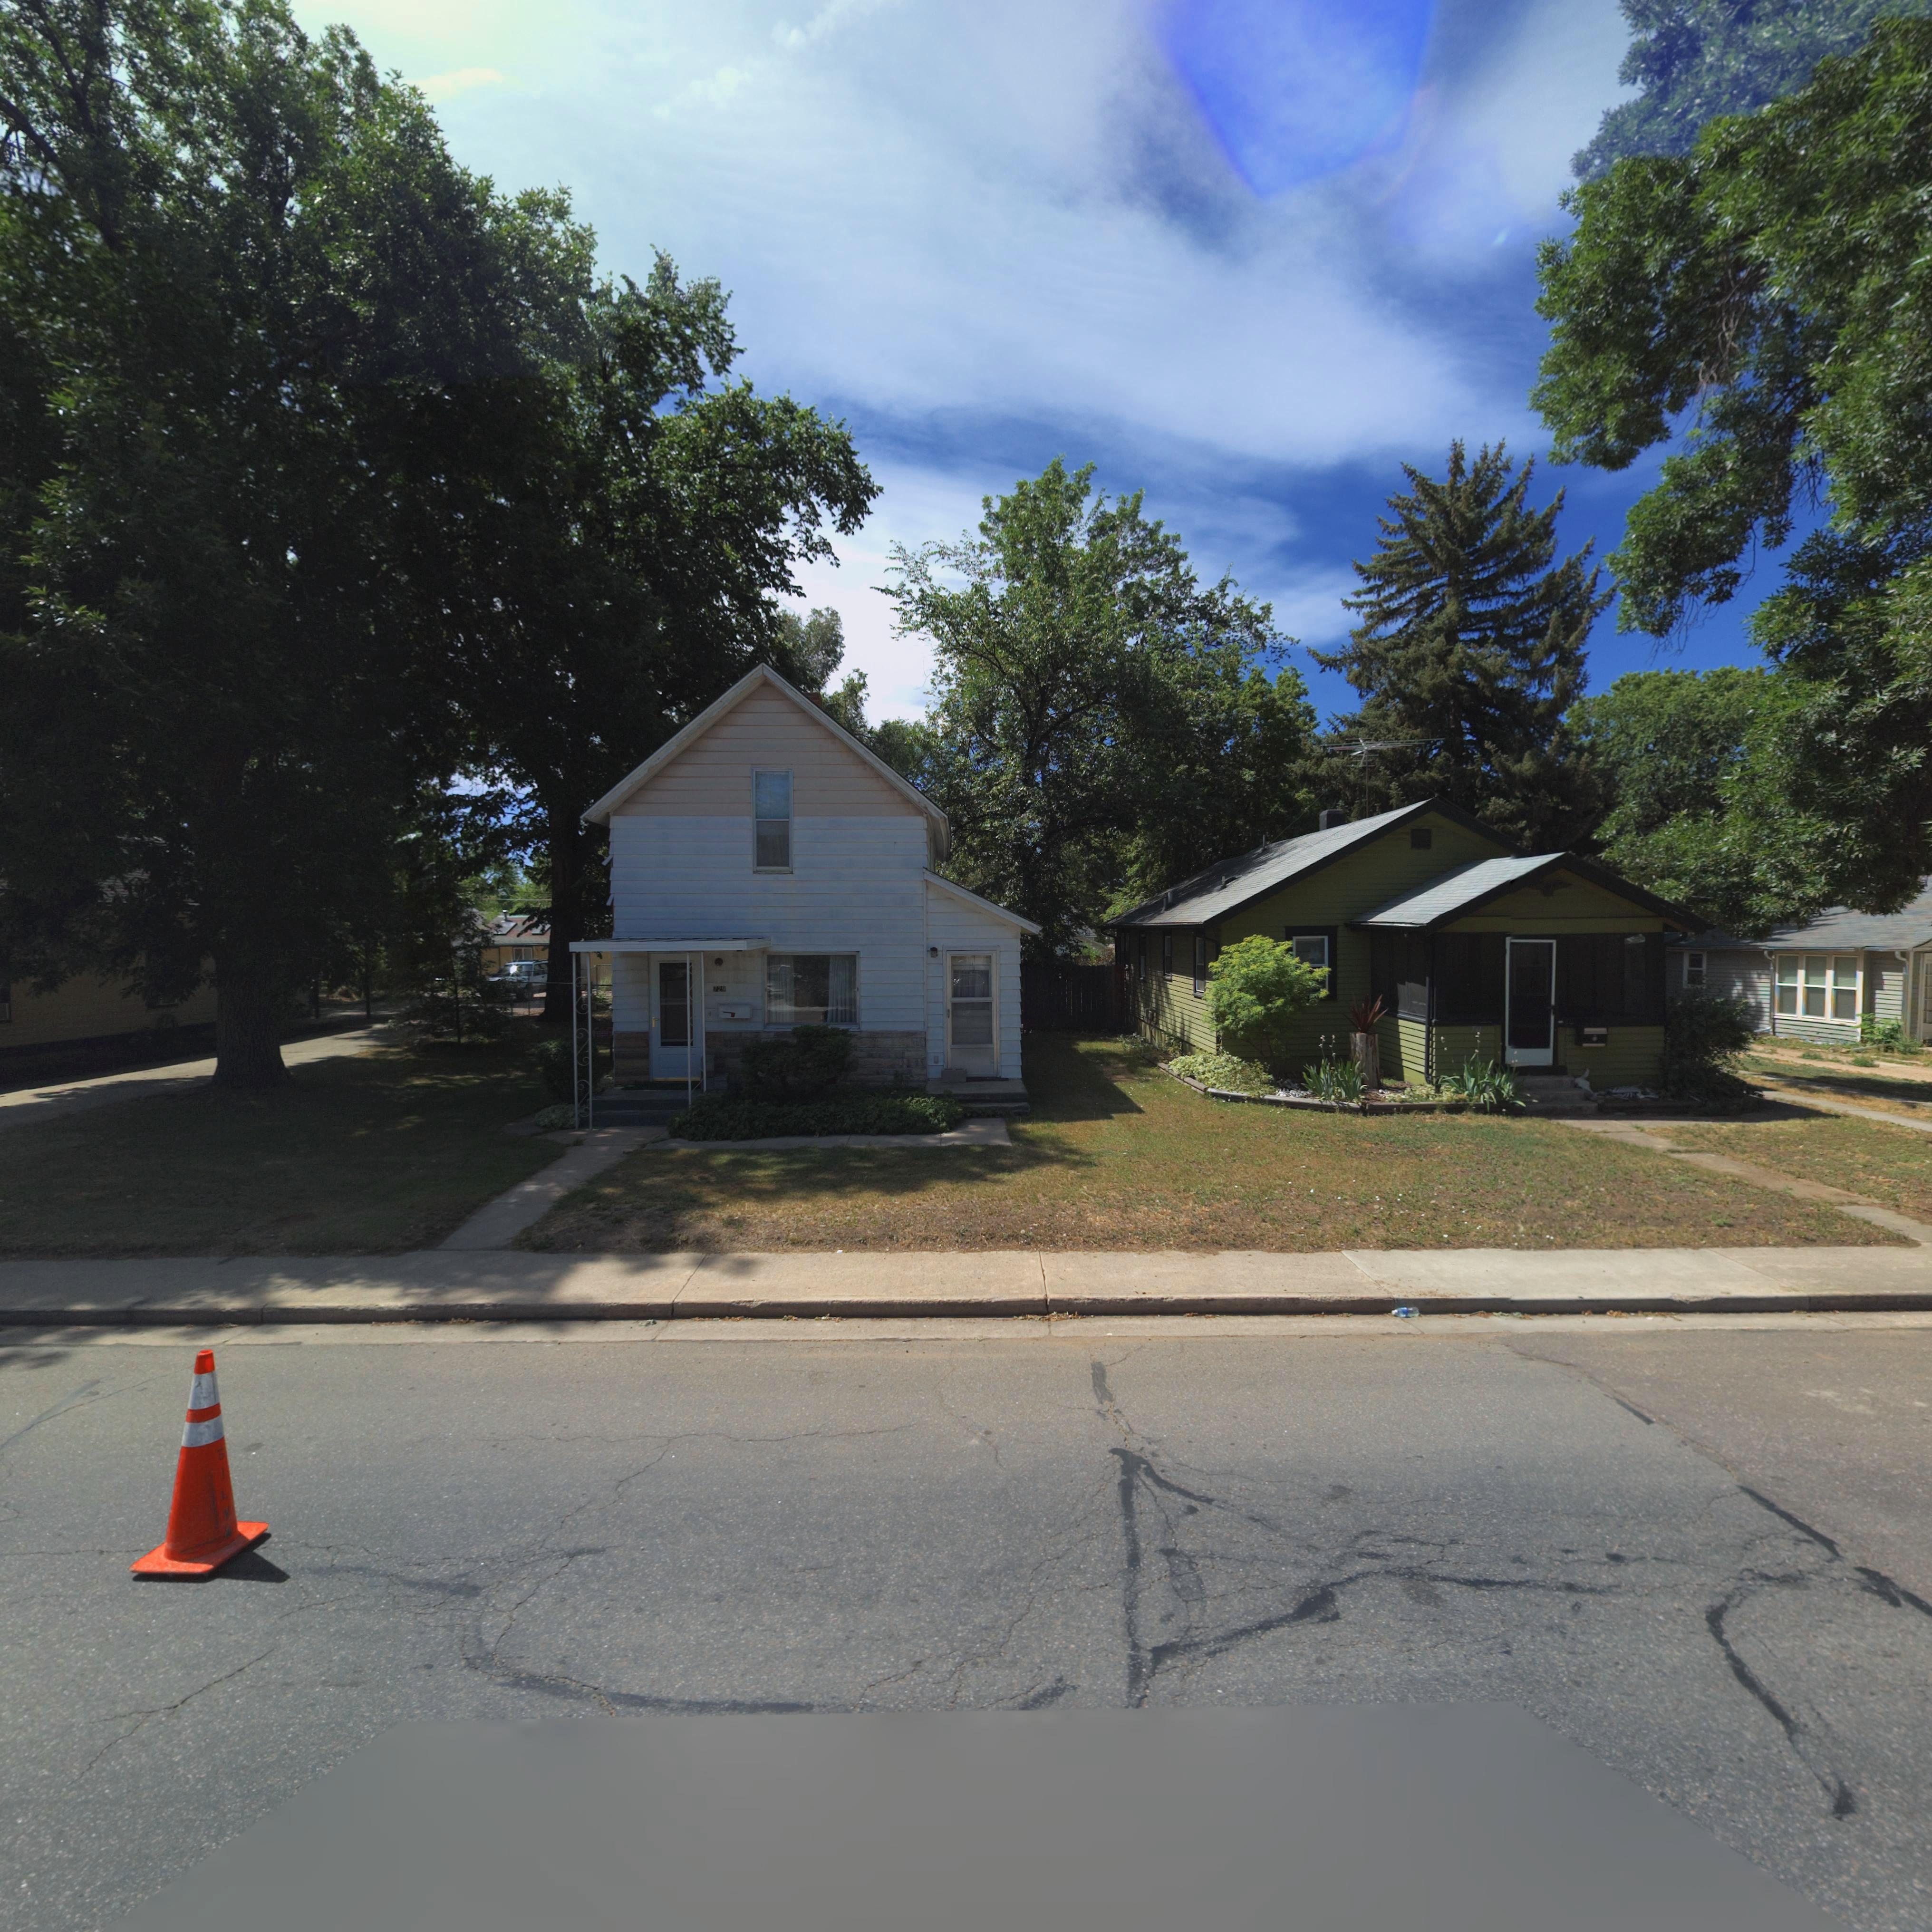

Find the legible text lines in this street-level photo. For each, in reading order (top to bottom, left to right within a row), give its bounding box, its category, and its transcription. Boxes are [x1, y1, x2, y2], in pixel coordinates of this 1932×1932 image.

[712, 985, 725, 992] StreetNumber: 729
[1469, 1025, 1483, 1034] StreetNumber: 7**